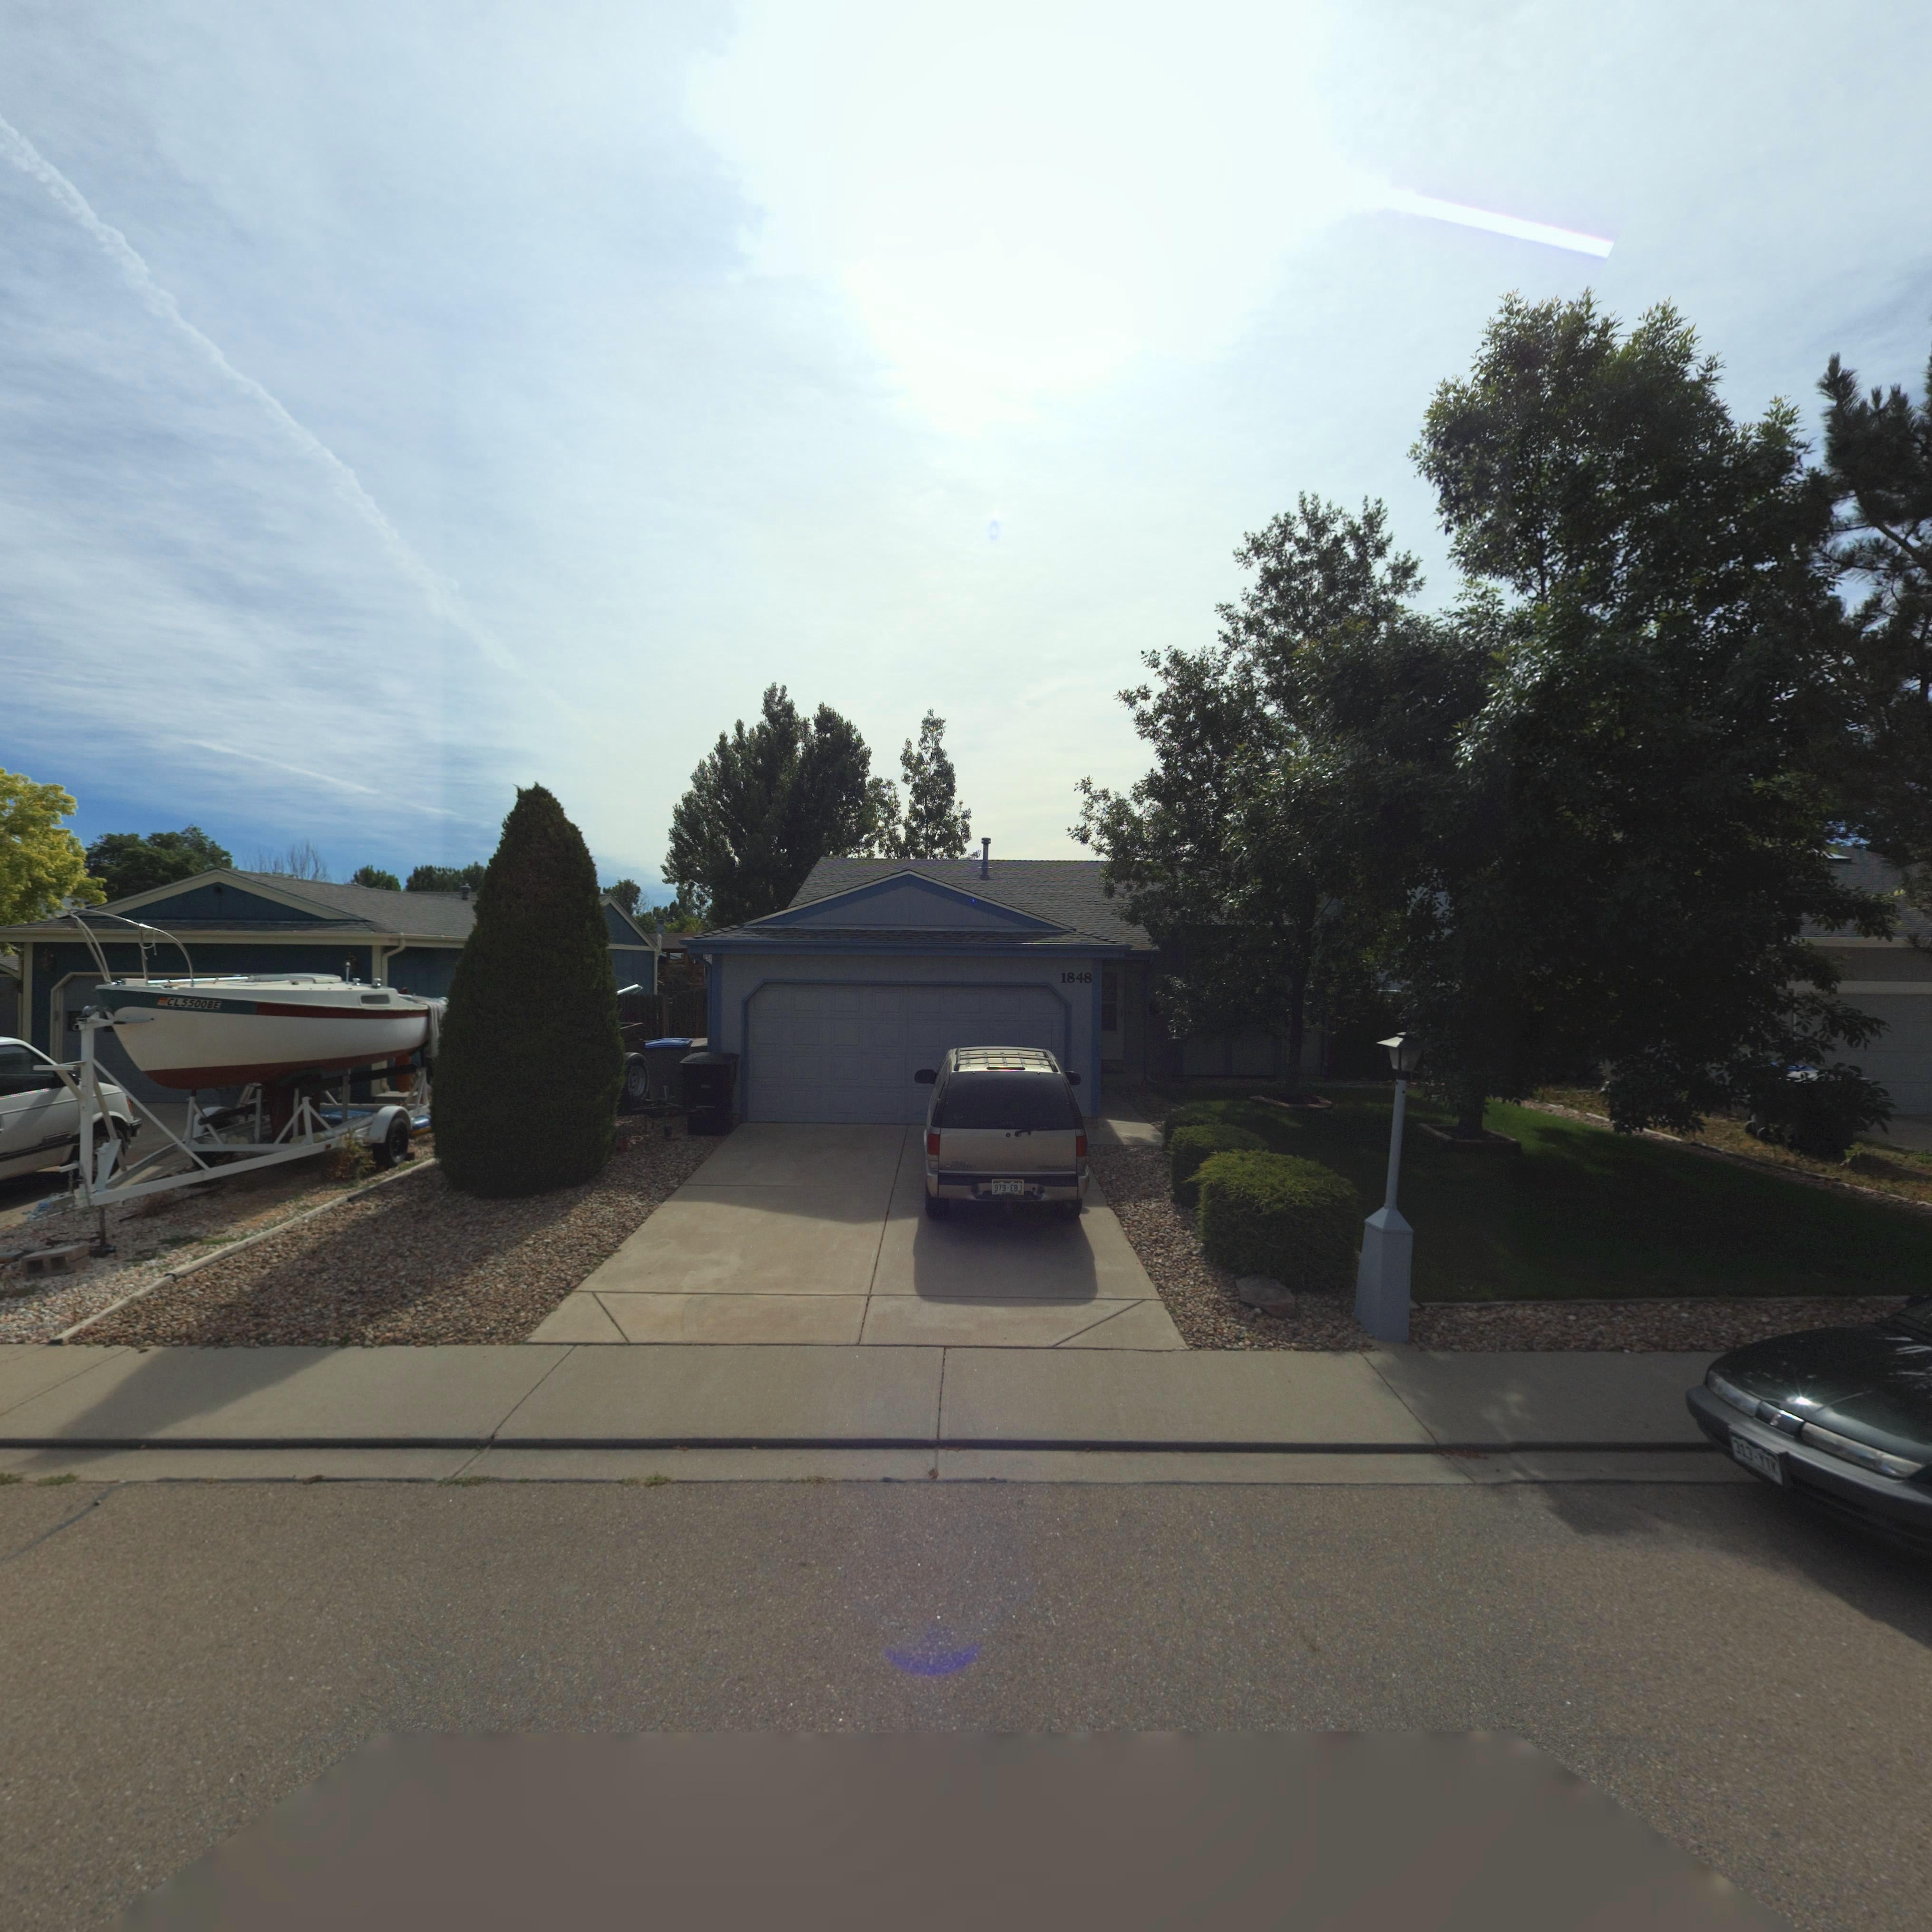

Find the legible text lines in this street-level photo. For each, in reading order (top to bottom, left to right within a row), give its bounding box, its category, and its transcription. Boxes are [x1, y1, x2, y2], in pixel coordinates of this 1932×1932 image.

[1060, 971, 1093, 984] StreetNumber: 1848